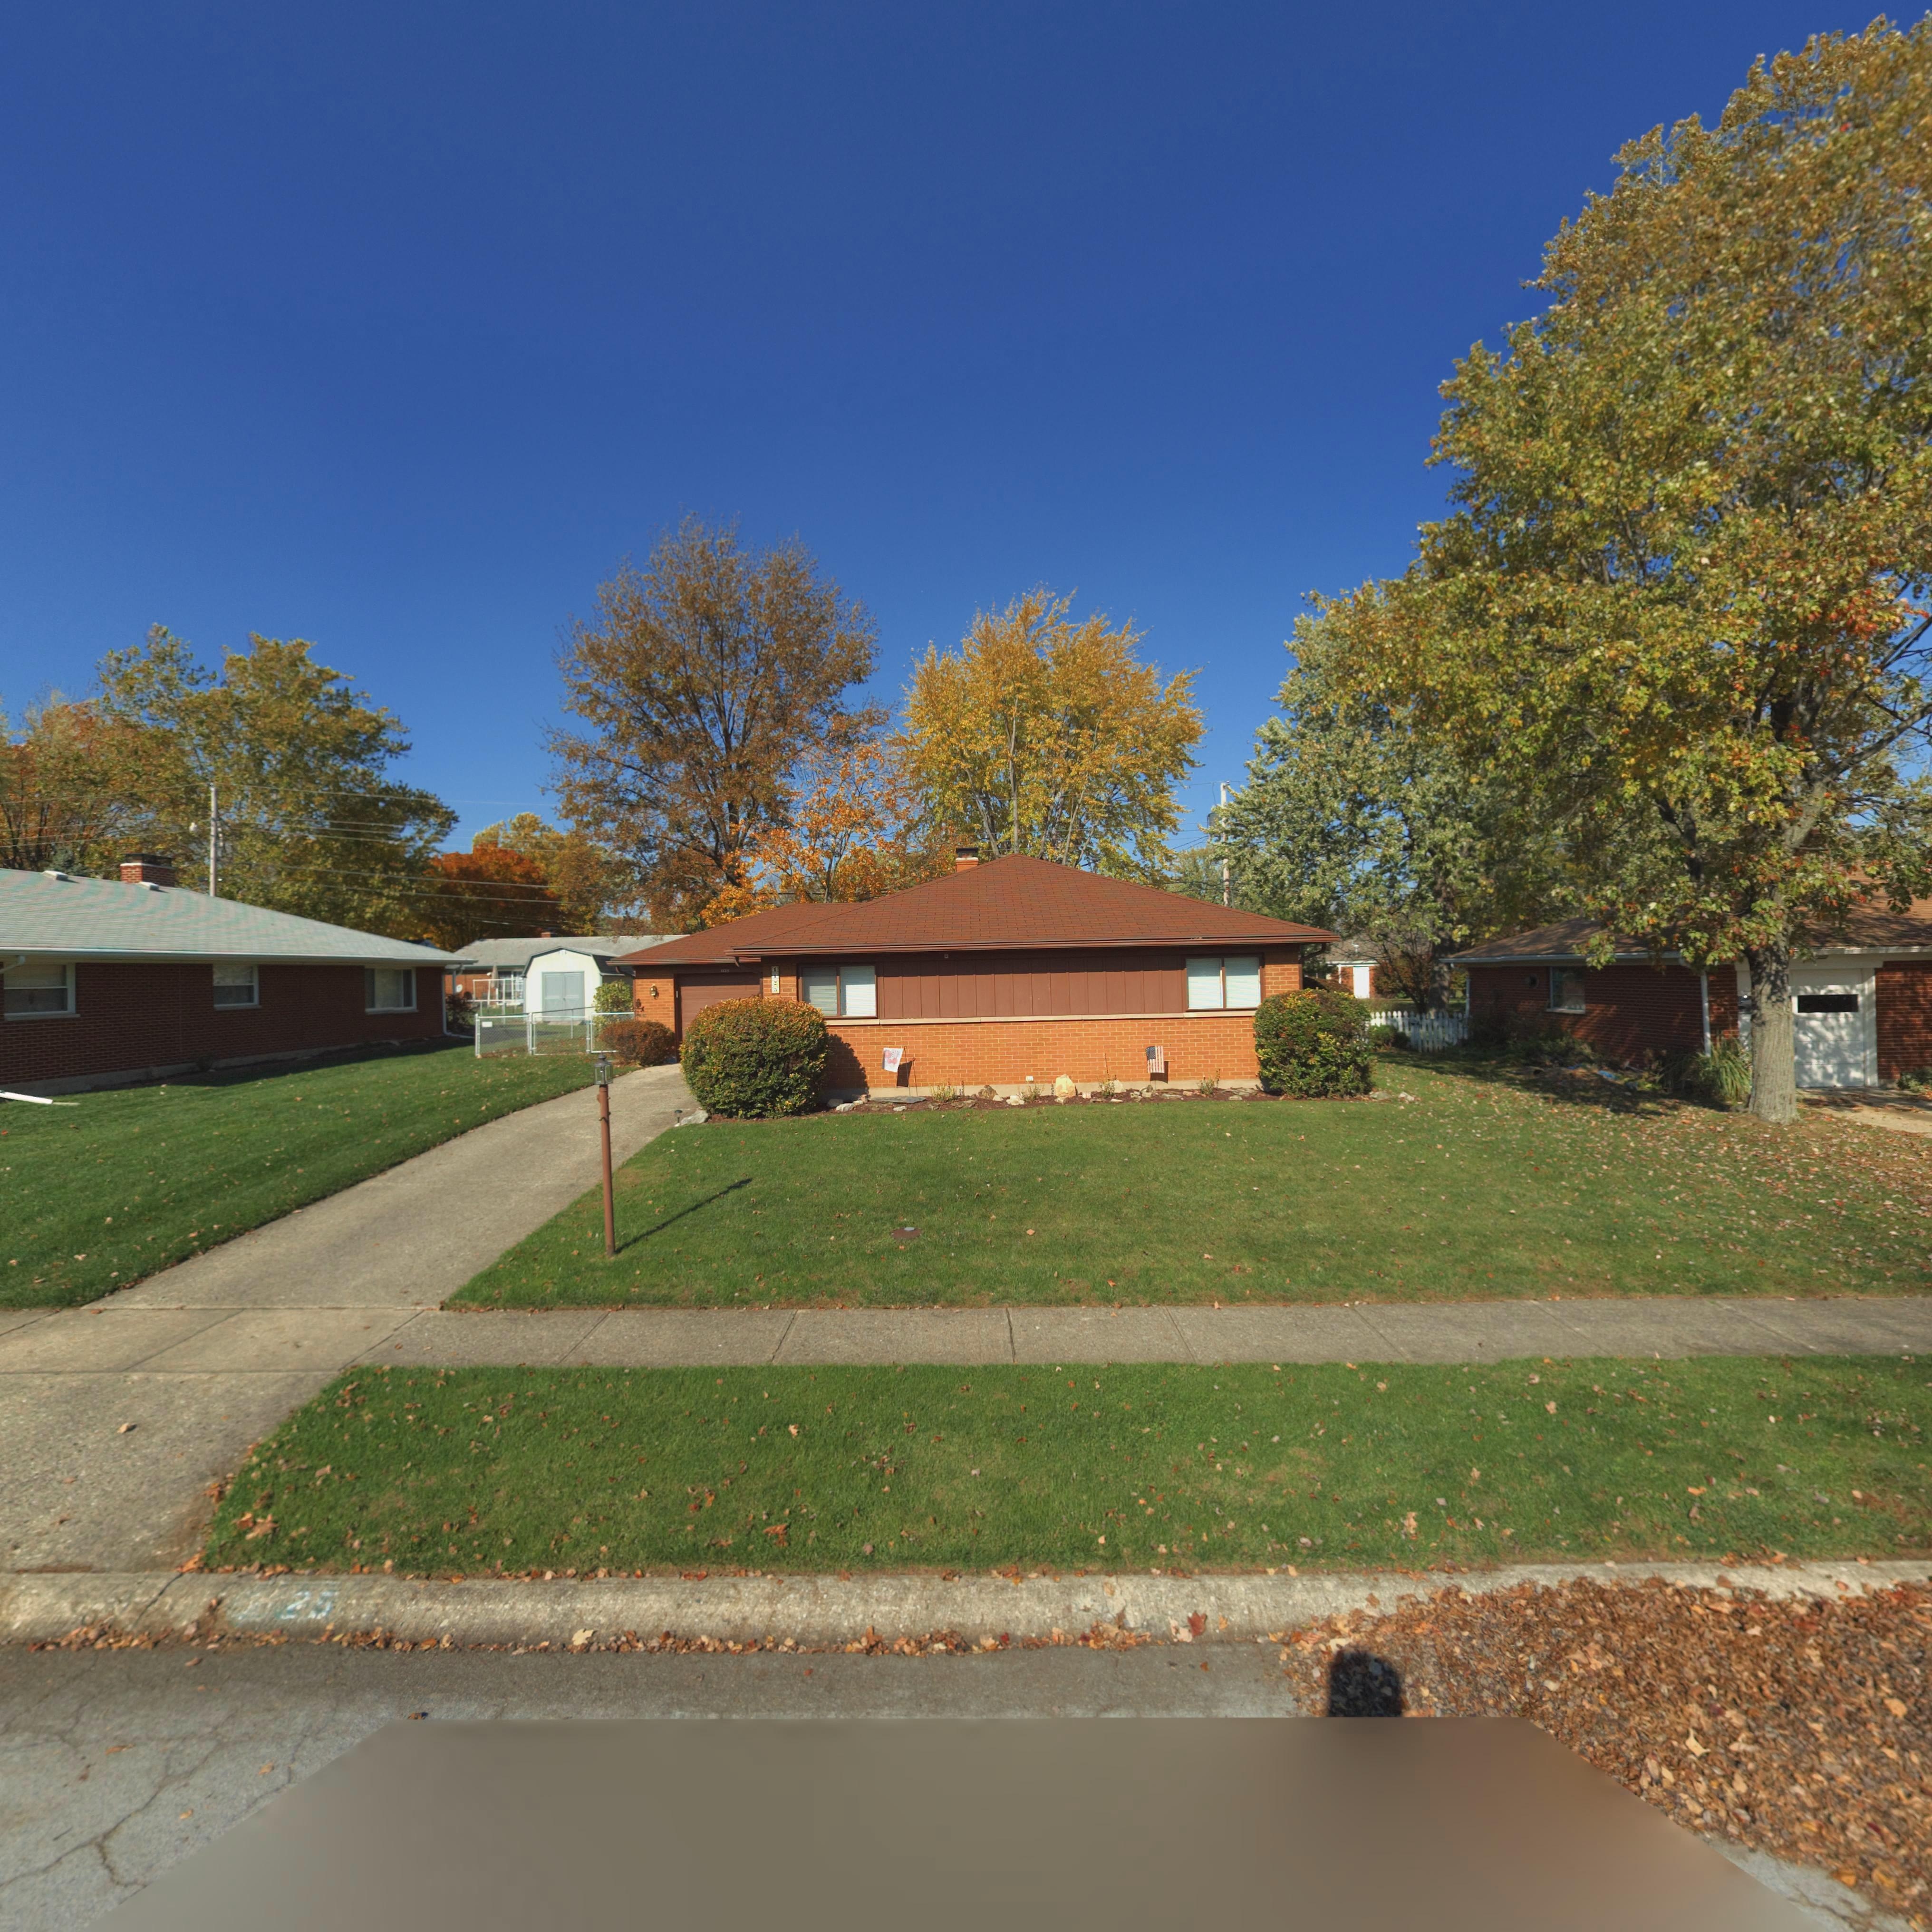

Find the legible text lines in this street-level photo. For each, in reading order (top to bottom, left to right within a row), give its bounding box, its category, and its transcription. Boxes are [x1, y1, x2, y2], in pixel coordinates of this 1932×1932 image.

[772, 966, 779, 993] StreetNumber: 1125
[233, 1586, 344, 1623] StreetNumber: **25